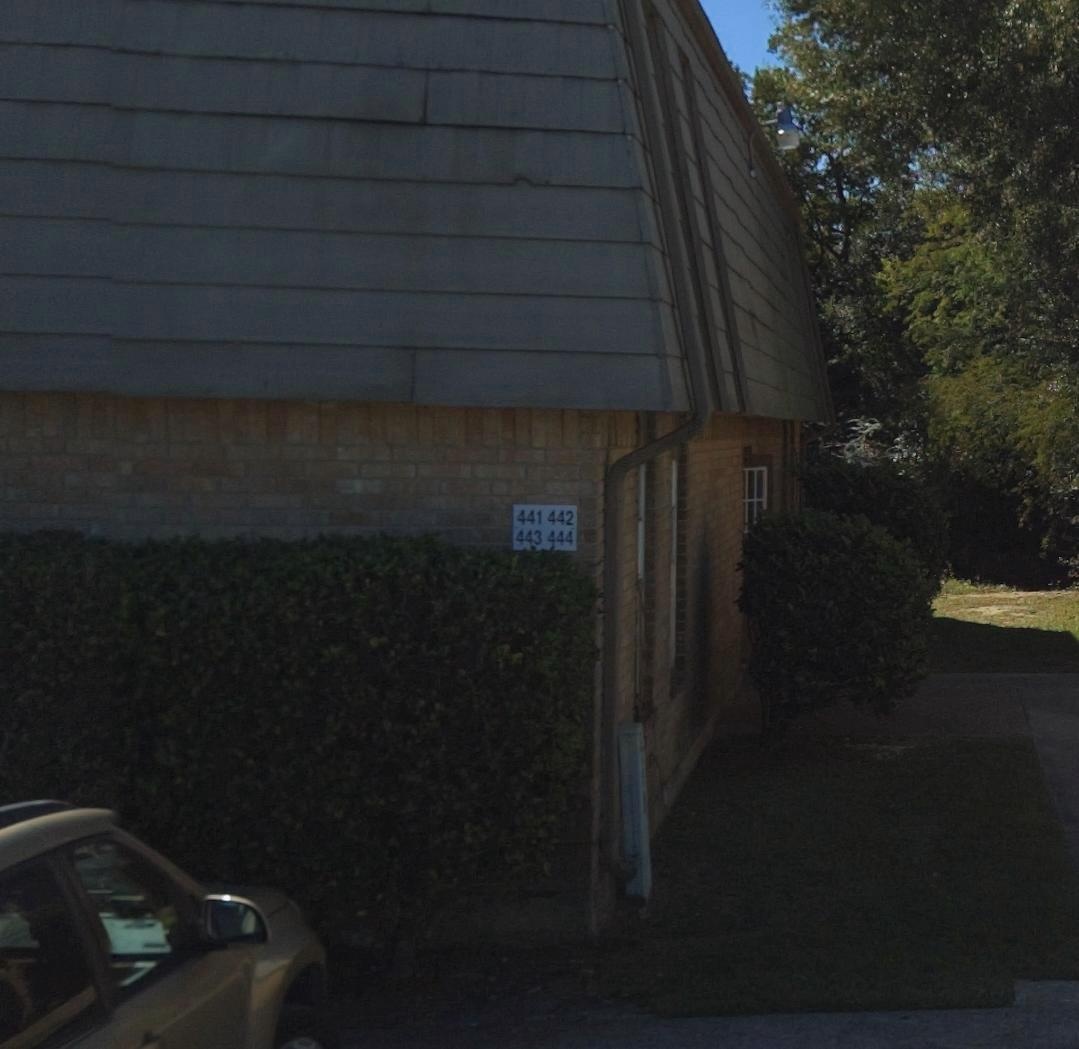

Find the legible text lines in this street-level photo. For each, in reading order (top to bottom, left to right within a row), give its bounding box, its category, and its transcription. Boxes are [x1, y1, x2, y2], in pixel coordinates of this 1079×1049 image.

[514, 508, 543, 527] StreetNumber: 441
[546, 509, 575, 527] StreetNumber: 442
[514, 528, 544, 547] StreetNumber: 443
[545, 528, 575, 548] StreetNumber: 444